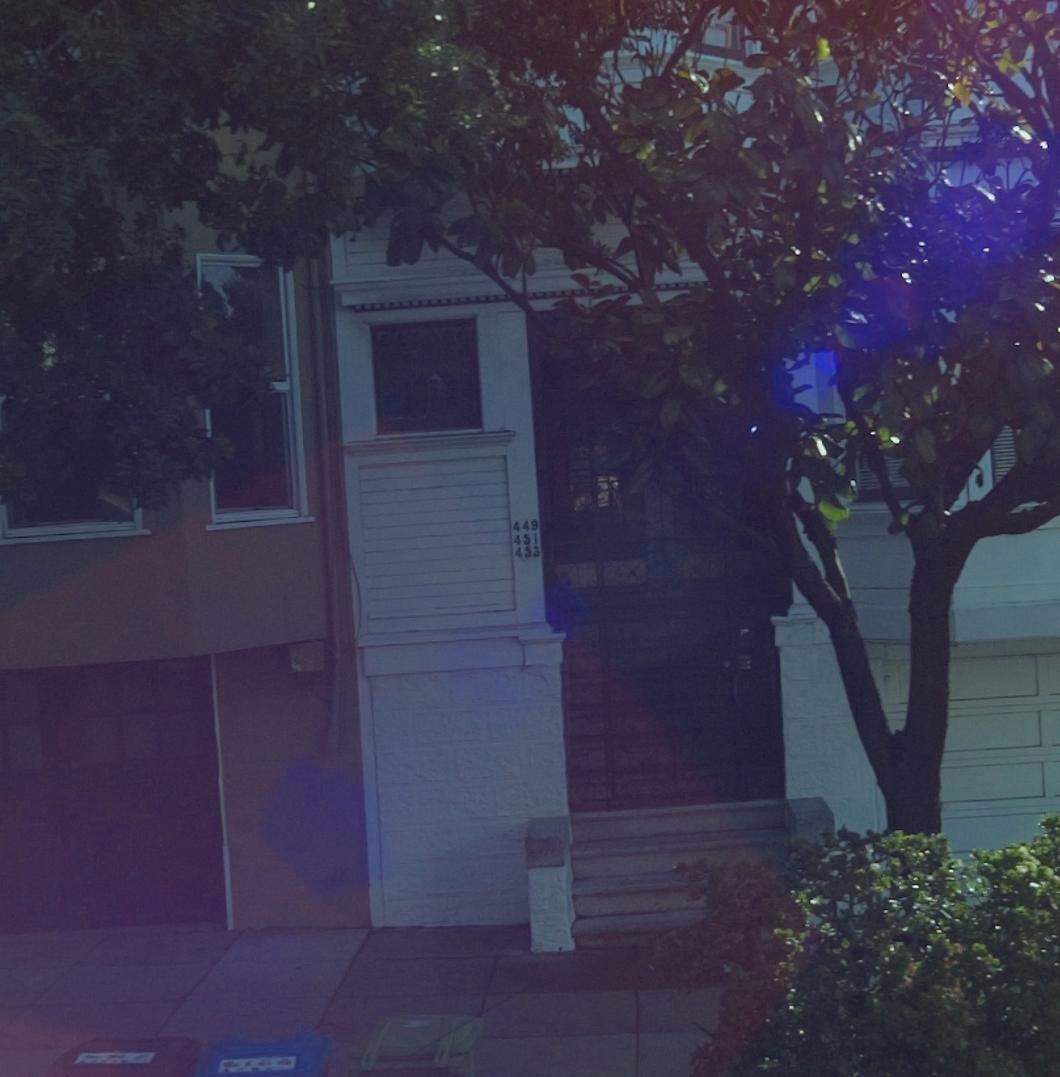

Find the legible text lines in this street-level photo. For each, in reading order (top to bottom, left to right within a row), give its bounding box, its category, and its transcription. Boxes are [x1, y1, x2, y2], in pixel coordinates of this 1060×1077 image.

[512, 519, 539, 532] StreetNumber: 449
[512, 532, 539, 545] StreetNumber: 451
[513, 545, 540, 559] StreetNumber: 453